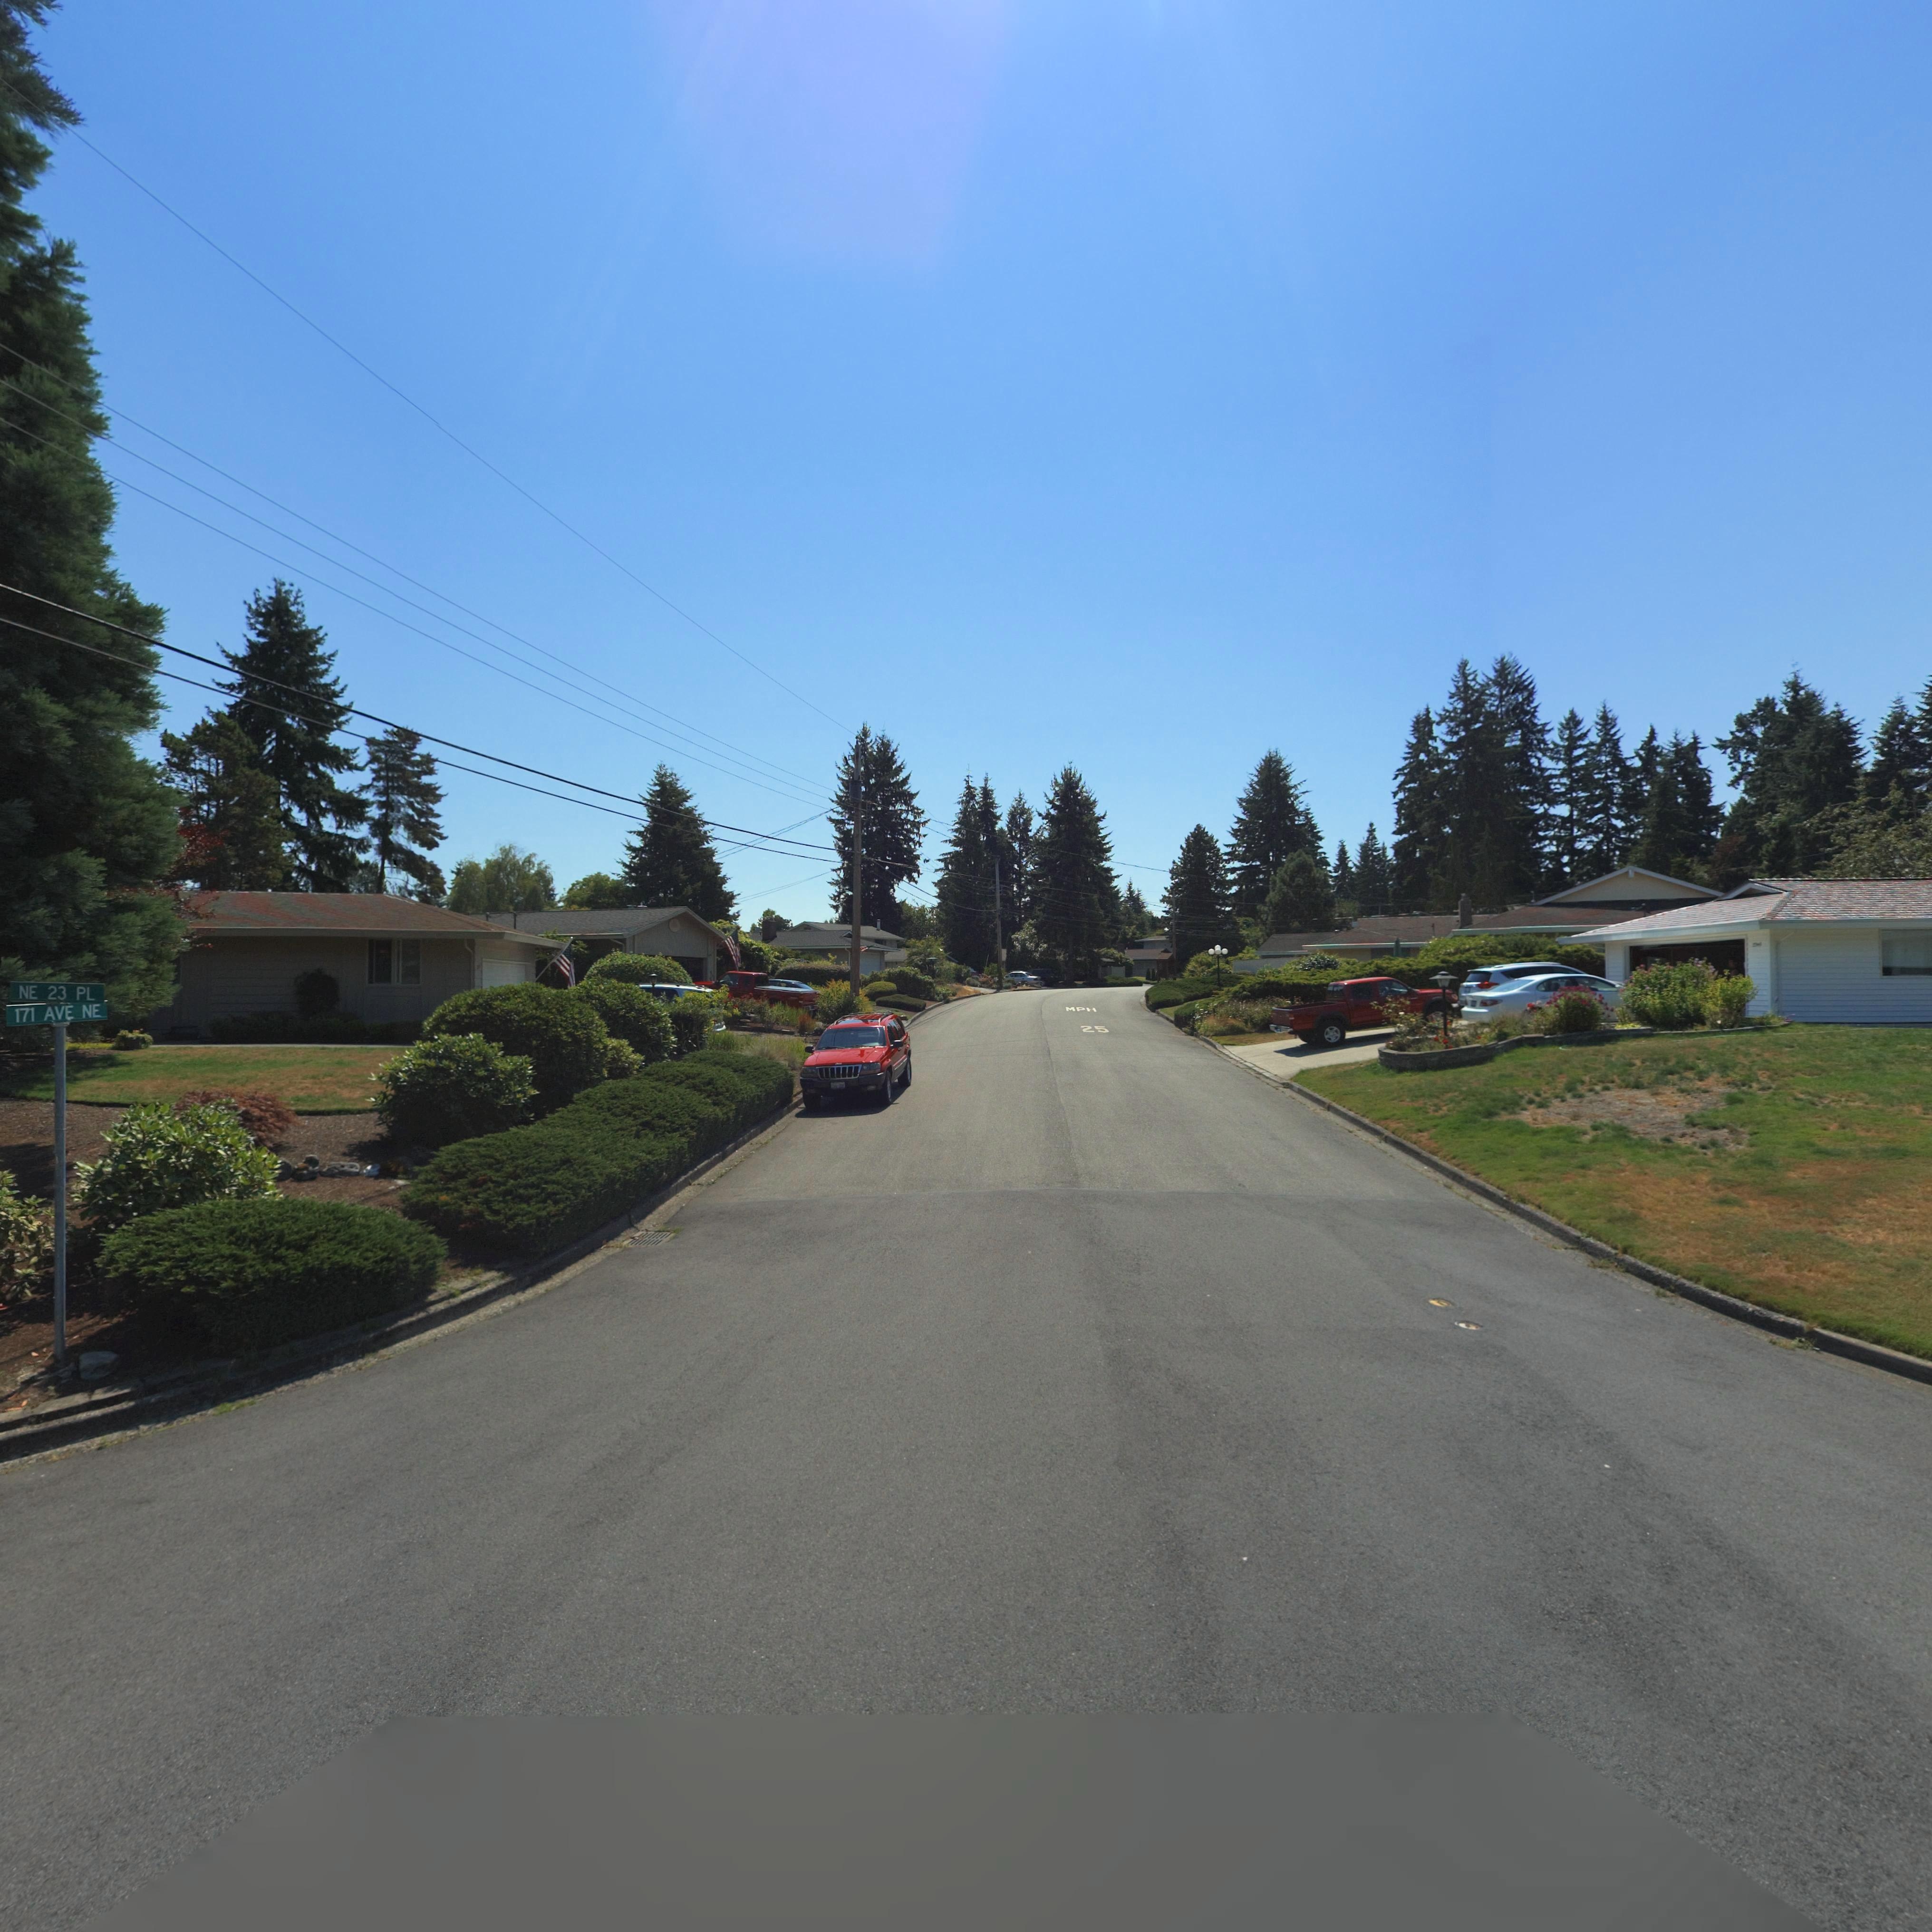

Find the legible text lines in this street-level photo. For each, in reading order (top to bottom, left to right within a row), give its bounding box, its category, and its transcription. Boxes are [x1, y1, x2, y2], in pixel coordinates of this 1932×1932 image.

[19, 985, 96, 1000] StreetName: NE 23 PL
[14, 1004, 101, 1023] StreetName: 171 AVE NE